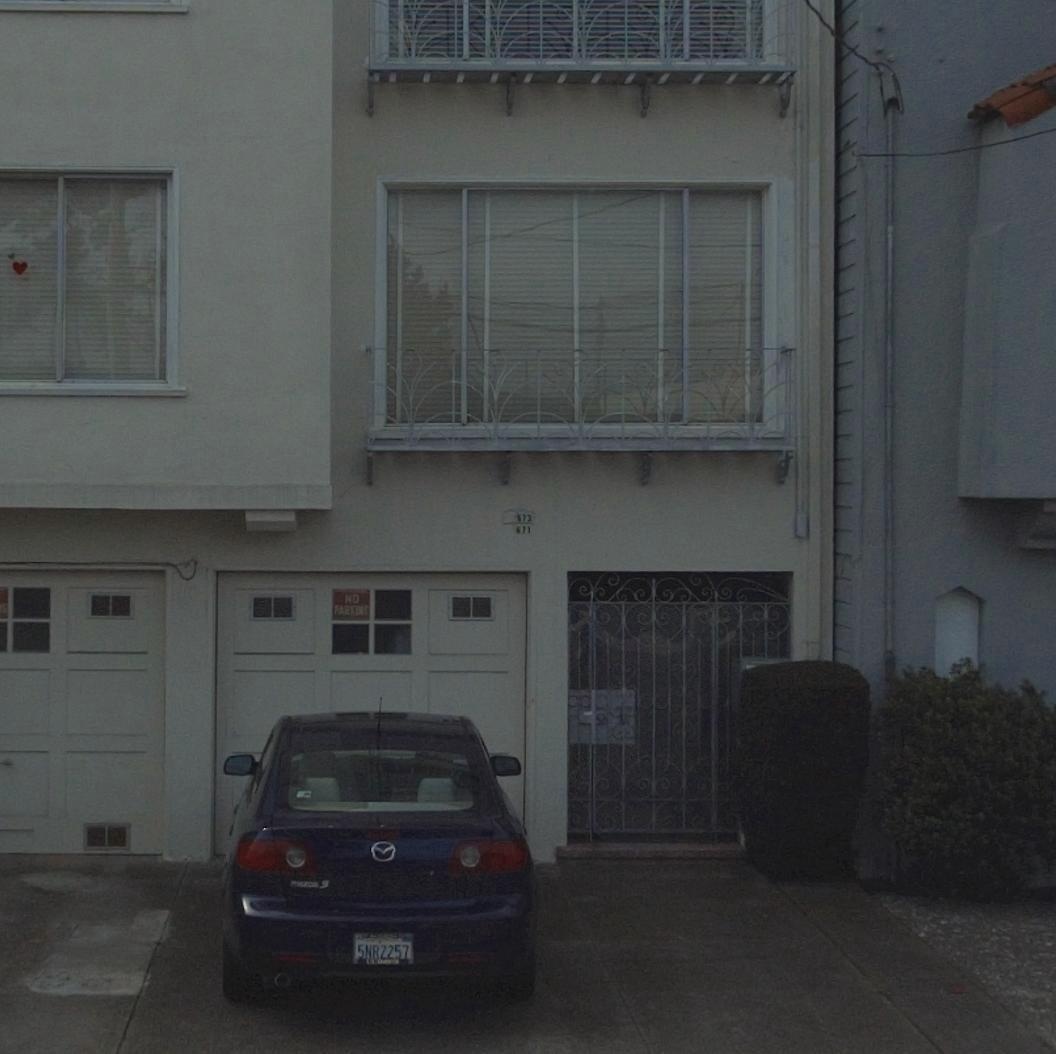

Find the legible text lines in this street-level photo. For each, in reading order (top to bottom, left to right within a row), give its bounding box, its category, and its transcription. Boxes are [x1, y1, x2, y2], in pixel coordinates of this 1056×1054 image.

[516, 513, 533, 523] StreetNumber: 673
[515, 525, 531, 535] StreetNumber: 671
[344, 592, 360, 605] None: NO
[356, 943, 411, 961] None: 5NBZ257